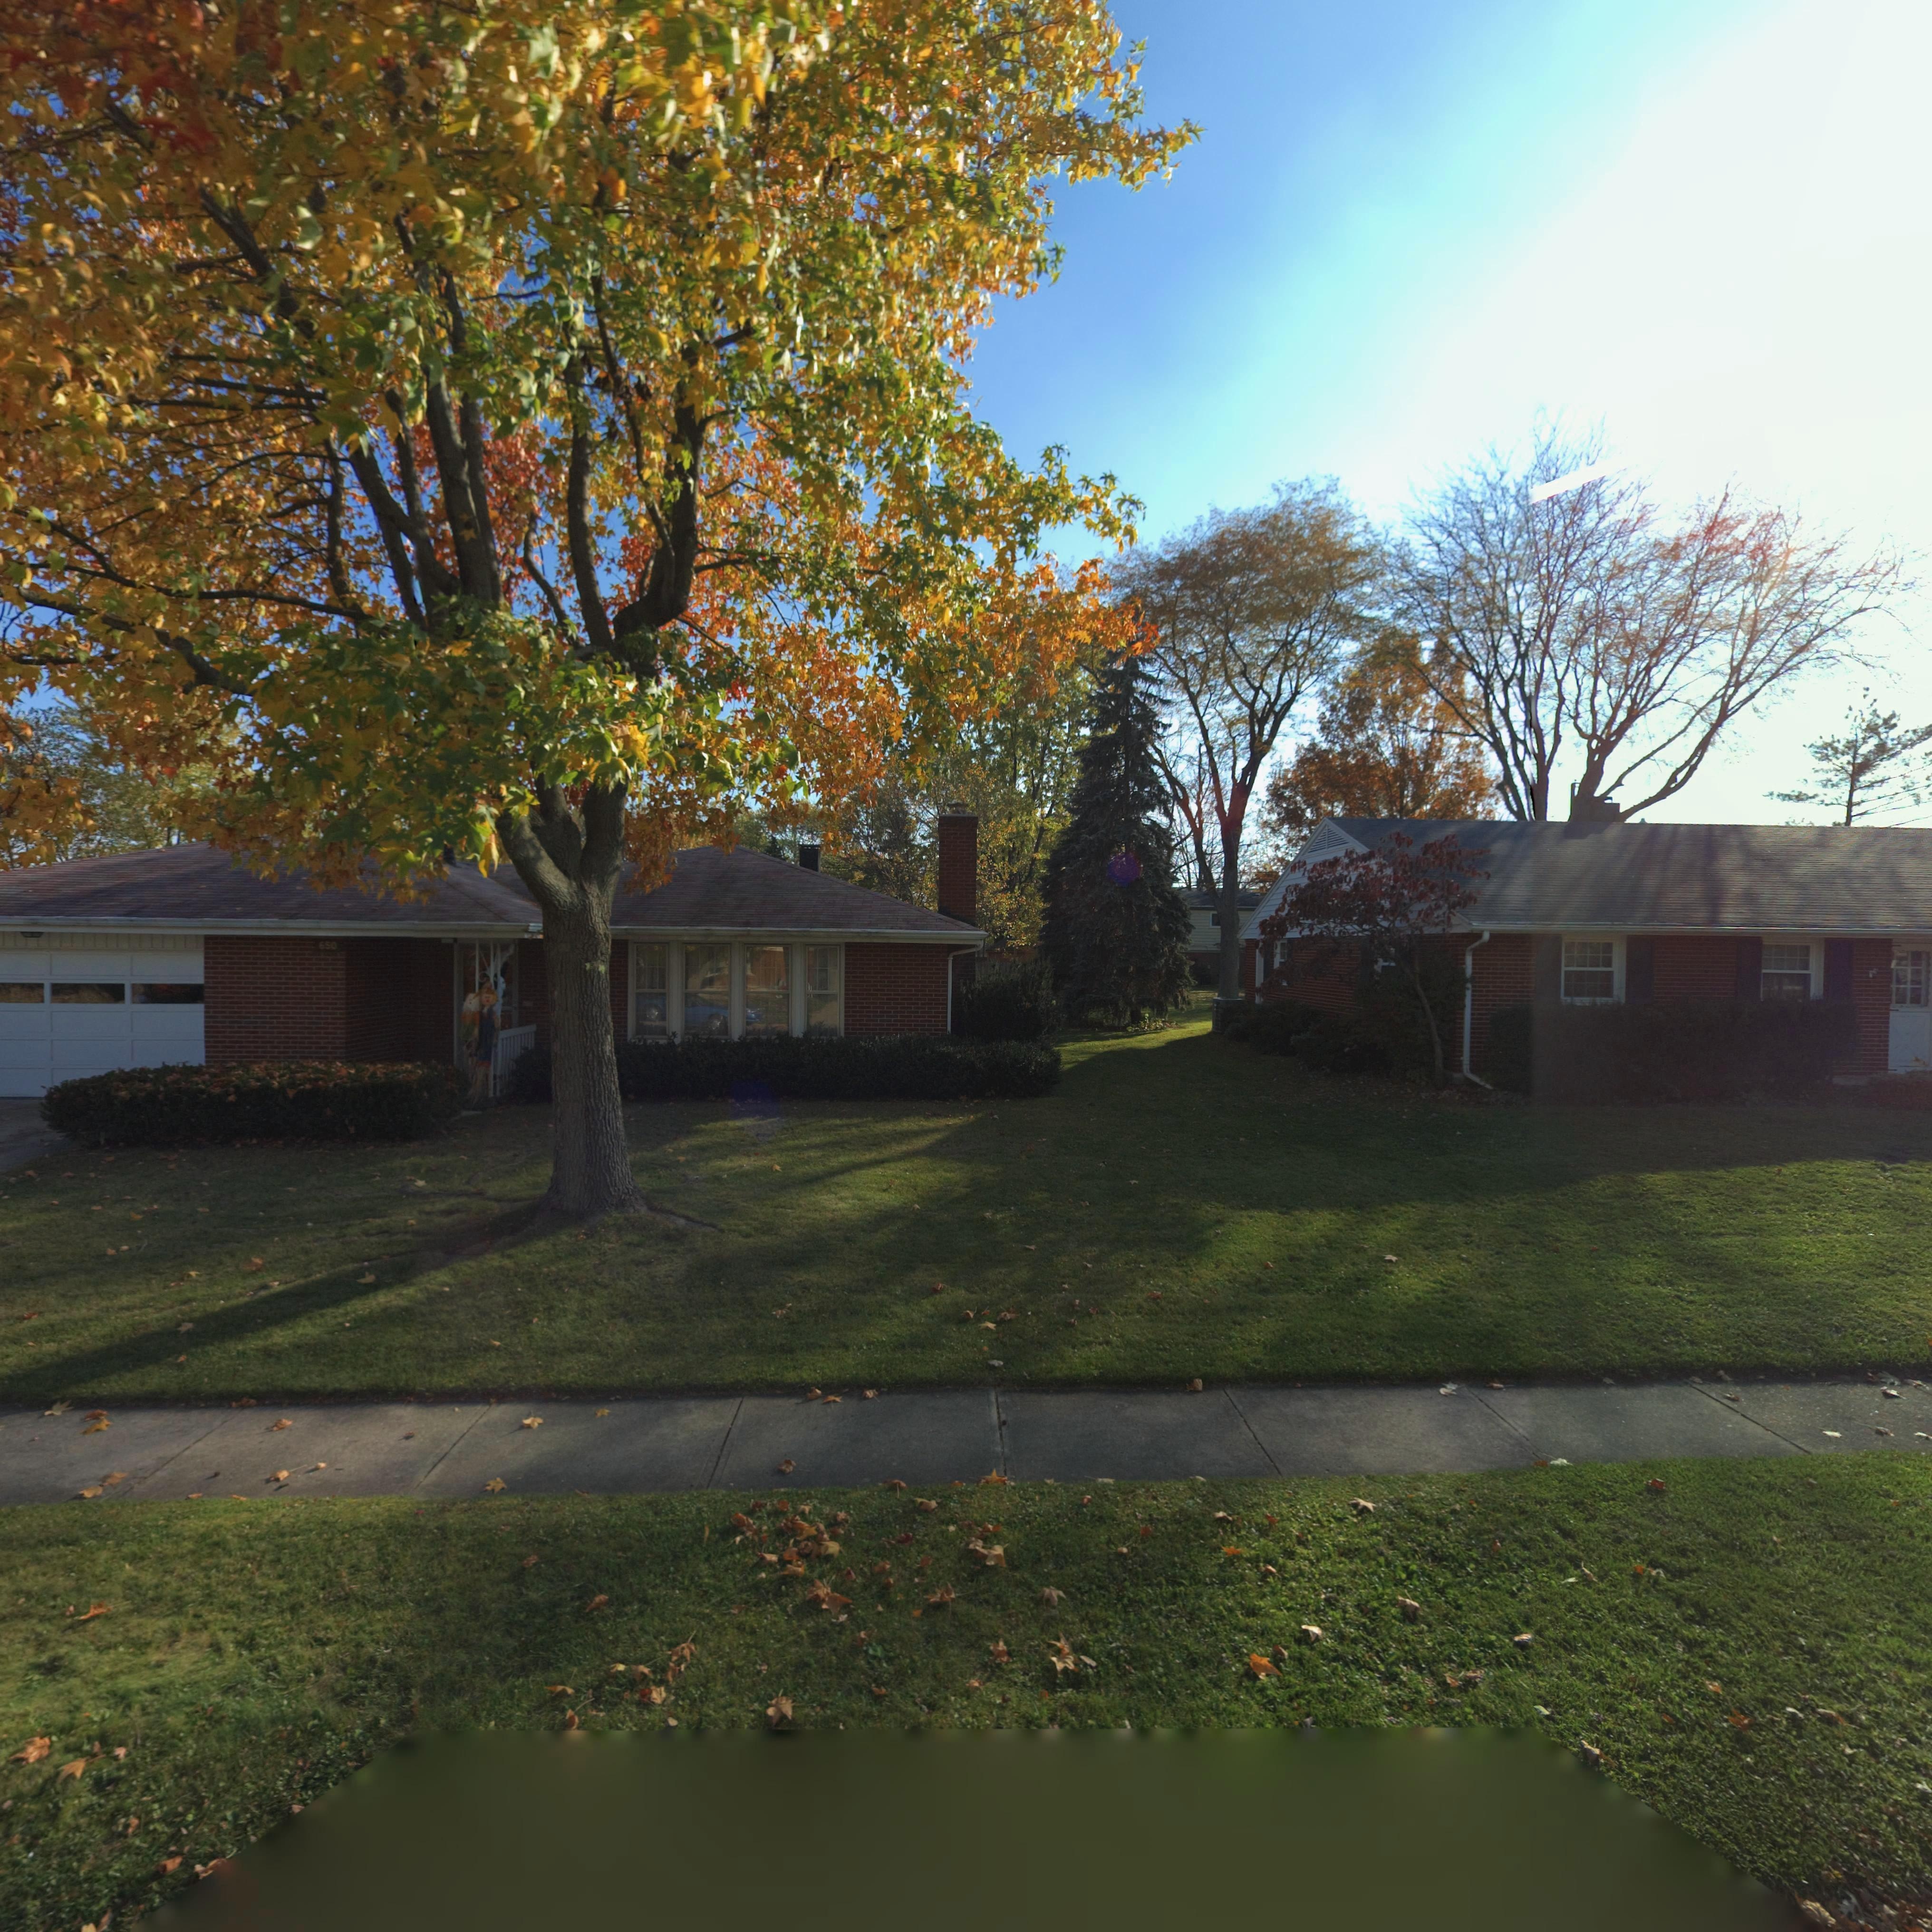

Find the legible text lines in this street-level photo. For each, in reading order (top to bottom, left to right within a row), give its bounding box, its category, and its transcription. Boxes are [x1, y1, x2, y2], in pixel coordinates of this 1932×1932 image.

[318, 940, 338, 950] StreetNumber: 650